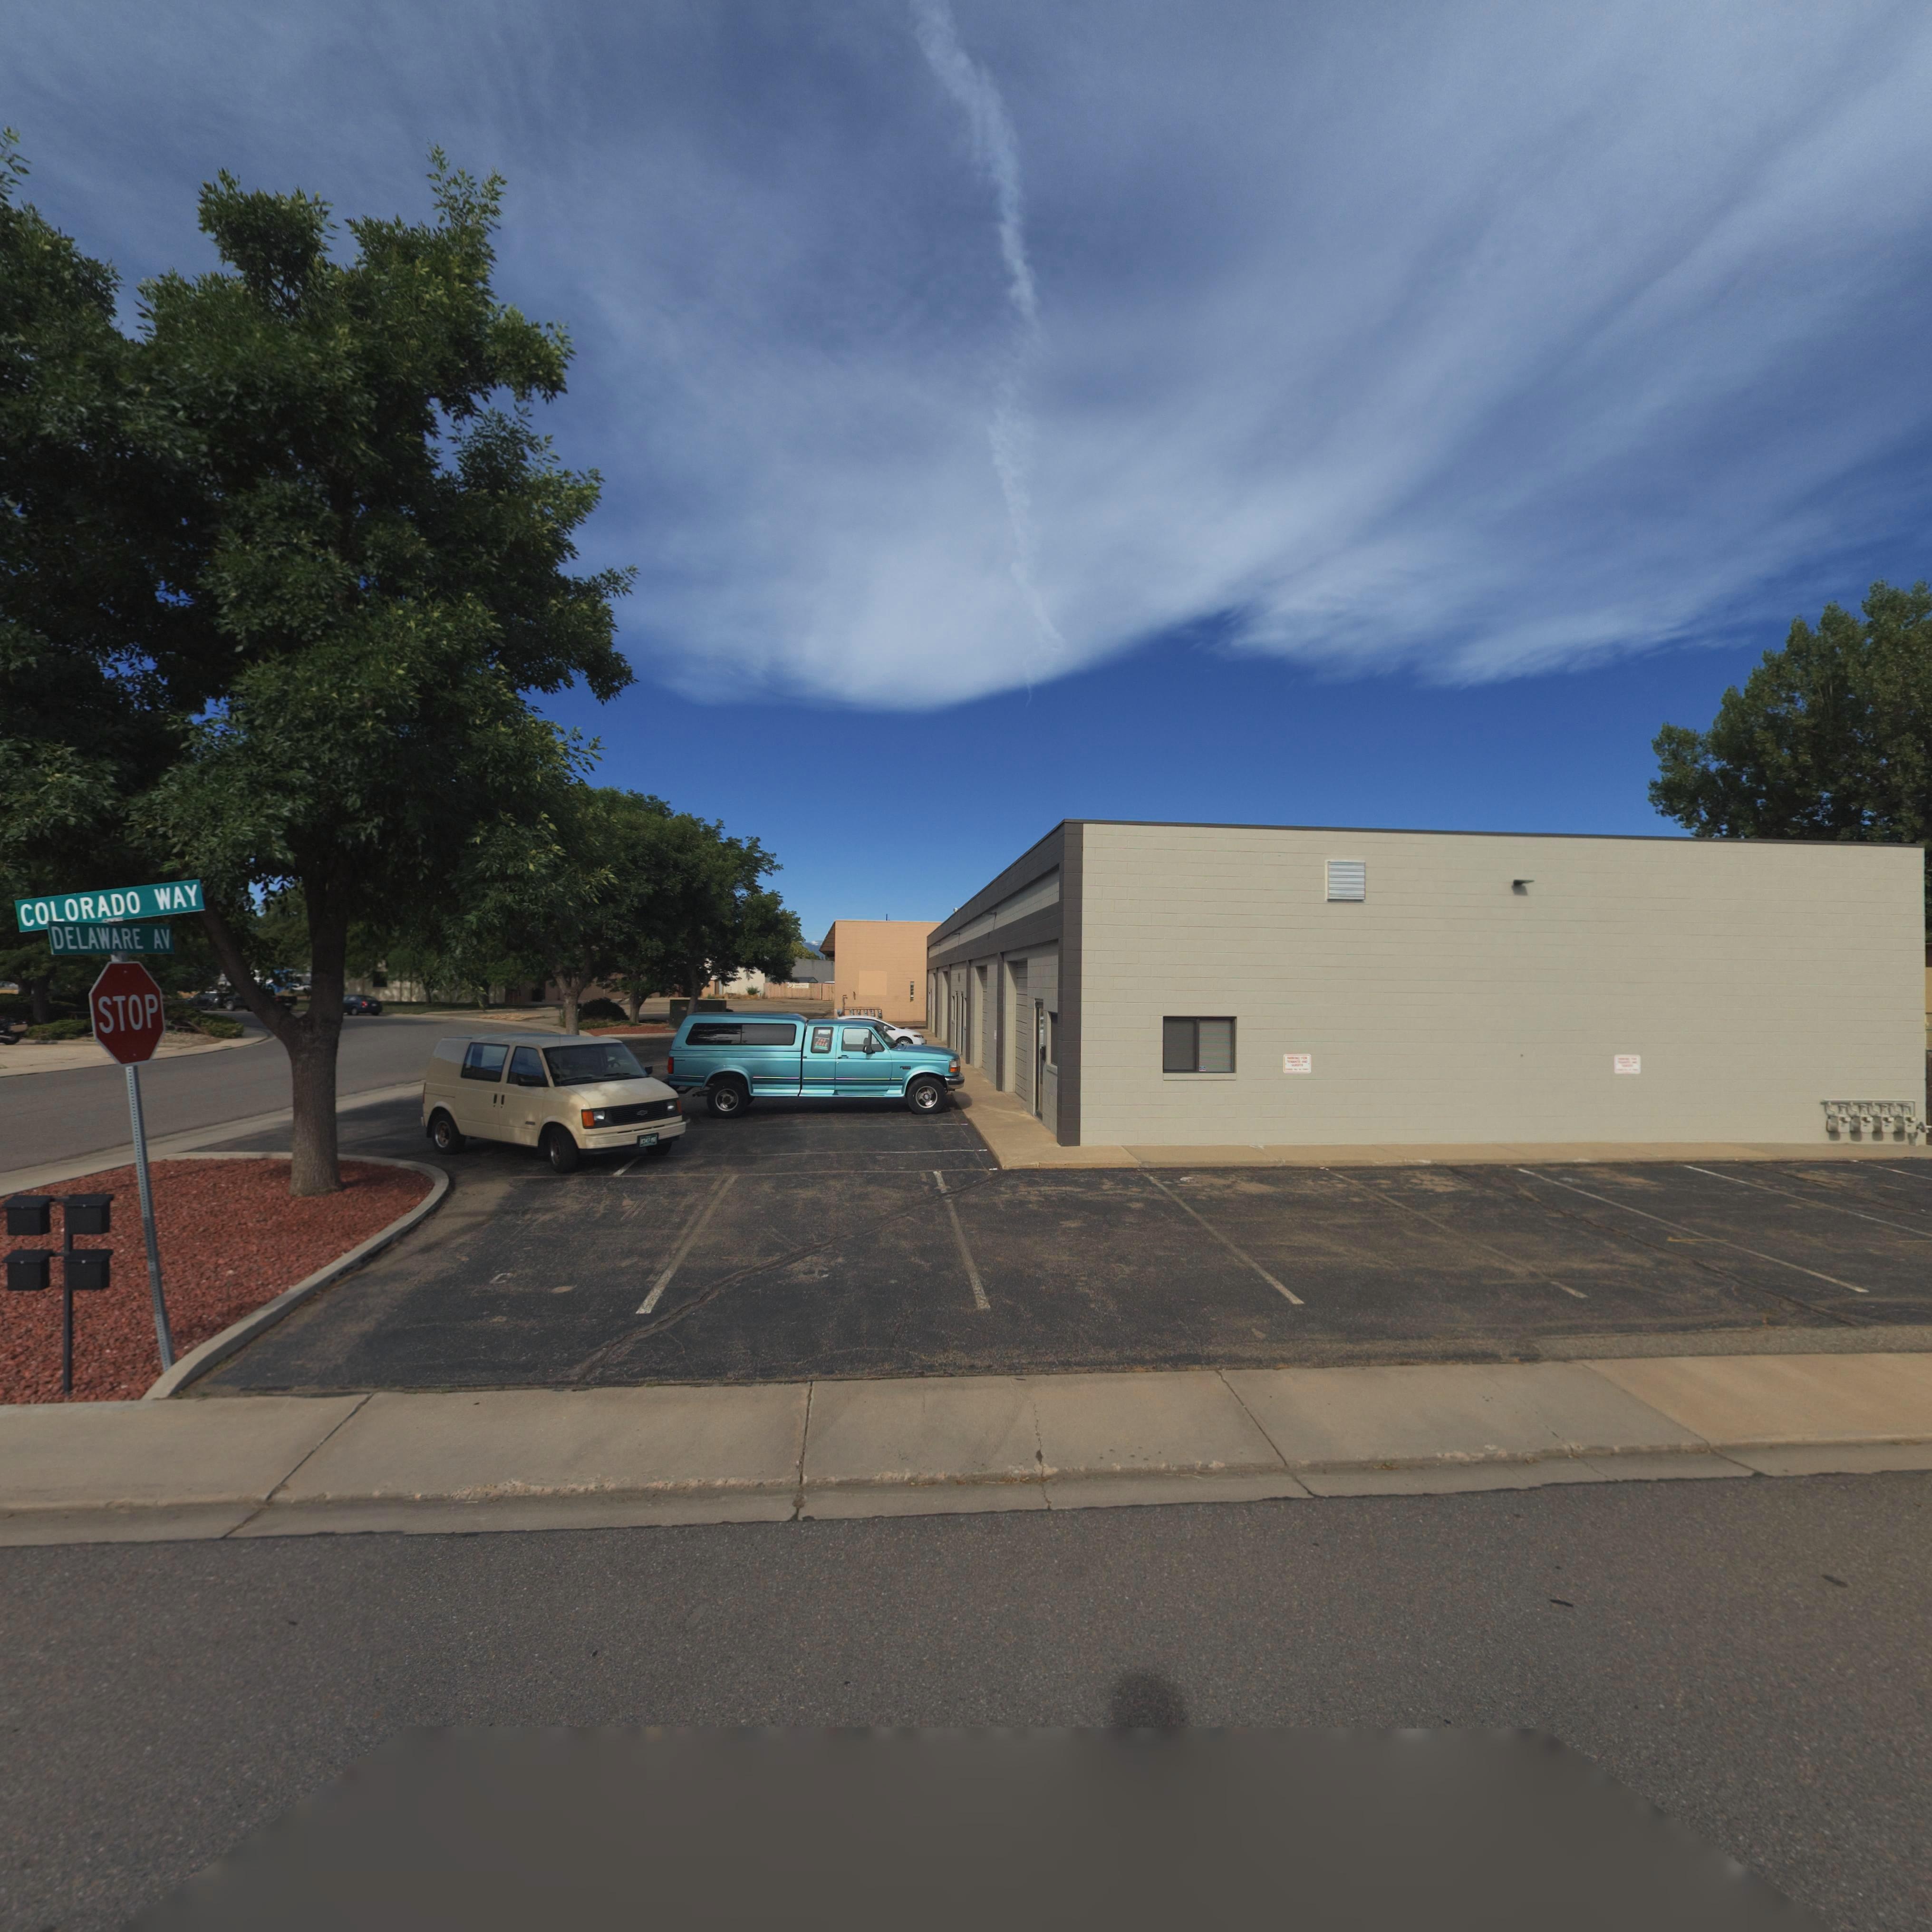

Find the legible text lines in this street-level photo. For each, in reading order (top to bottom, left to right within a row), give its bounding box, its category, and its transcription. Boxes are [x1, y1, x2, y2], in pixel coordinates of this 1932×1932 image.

[19, 883, 197, 927] StreetName: COLORADO WAY
[49, 925, 171, 950] StreetName: DELAWARE AV